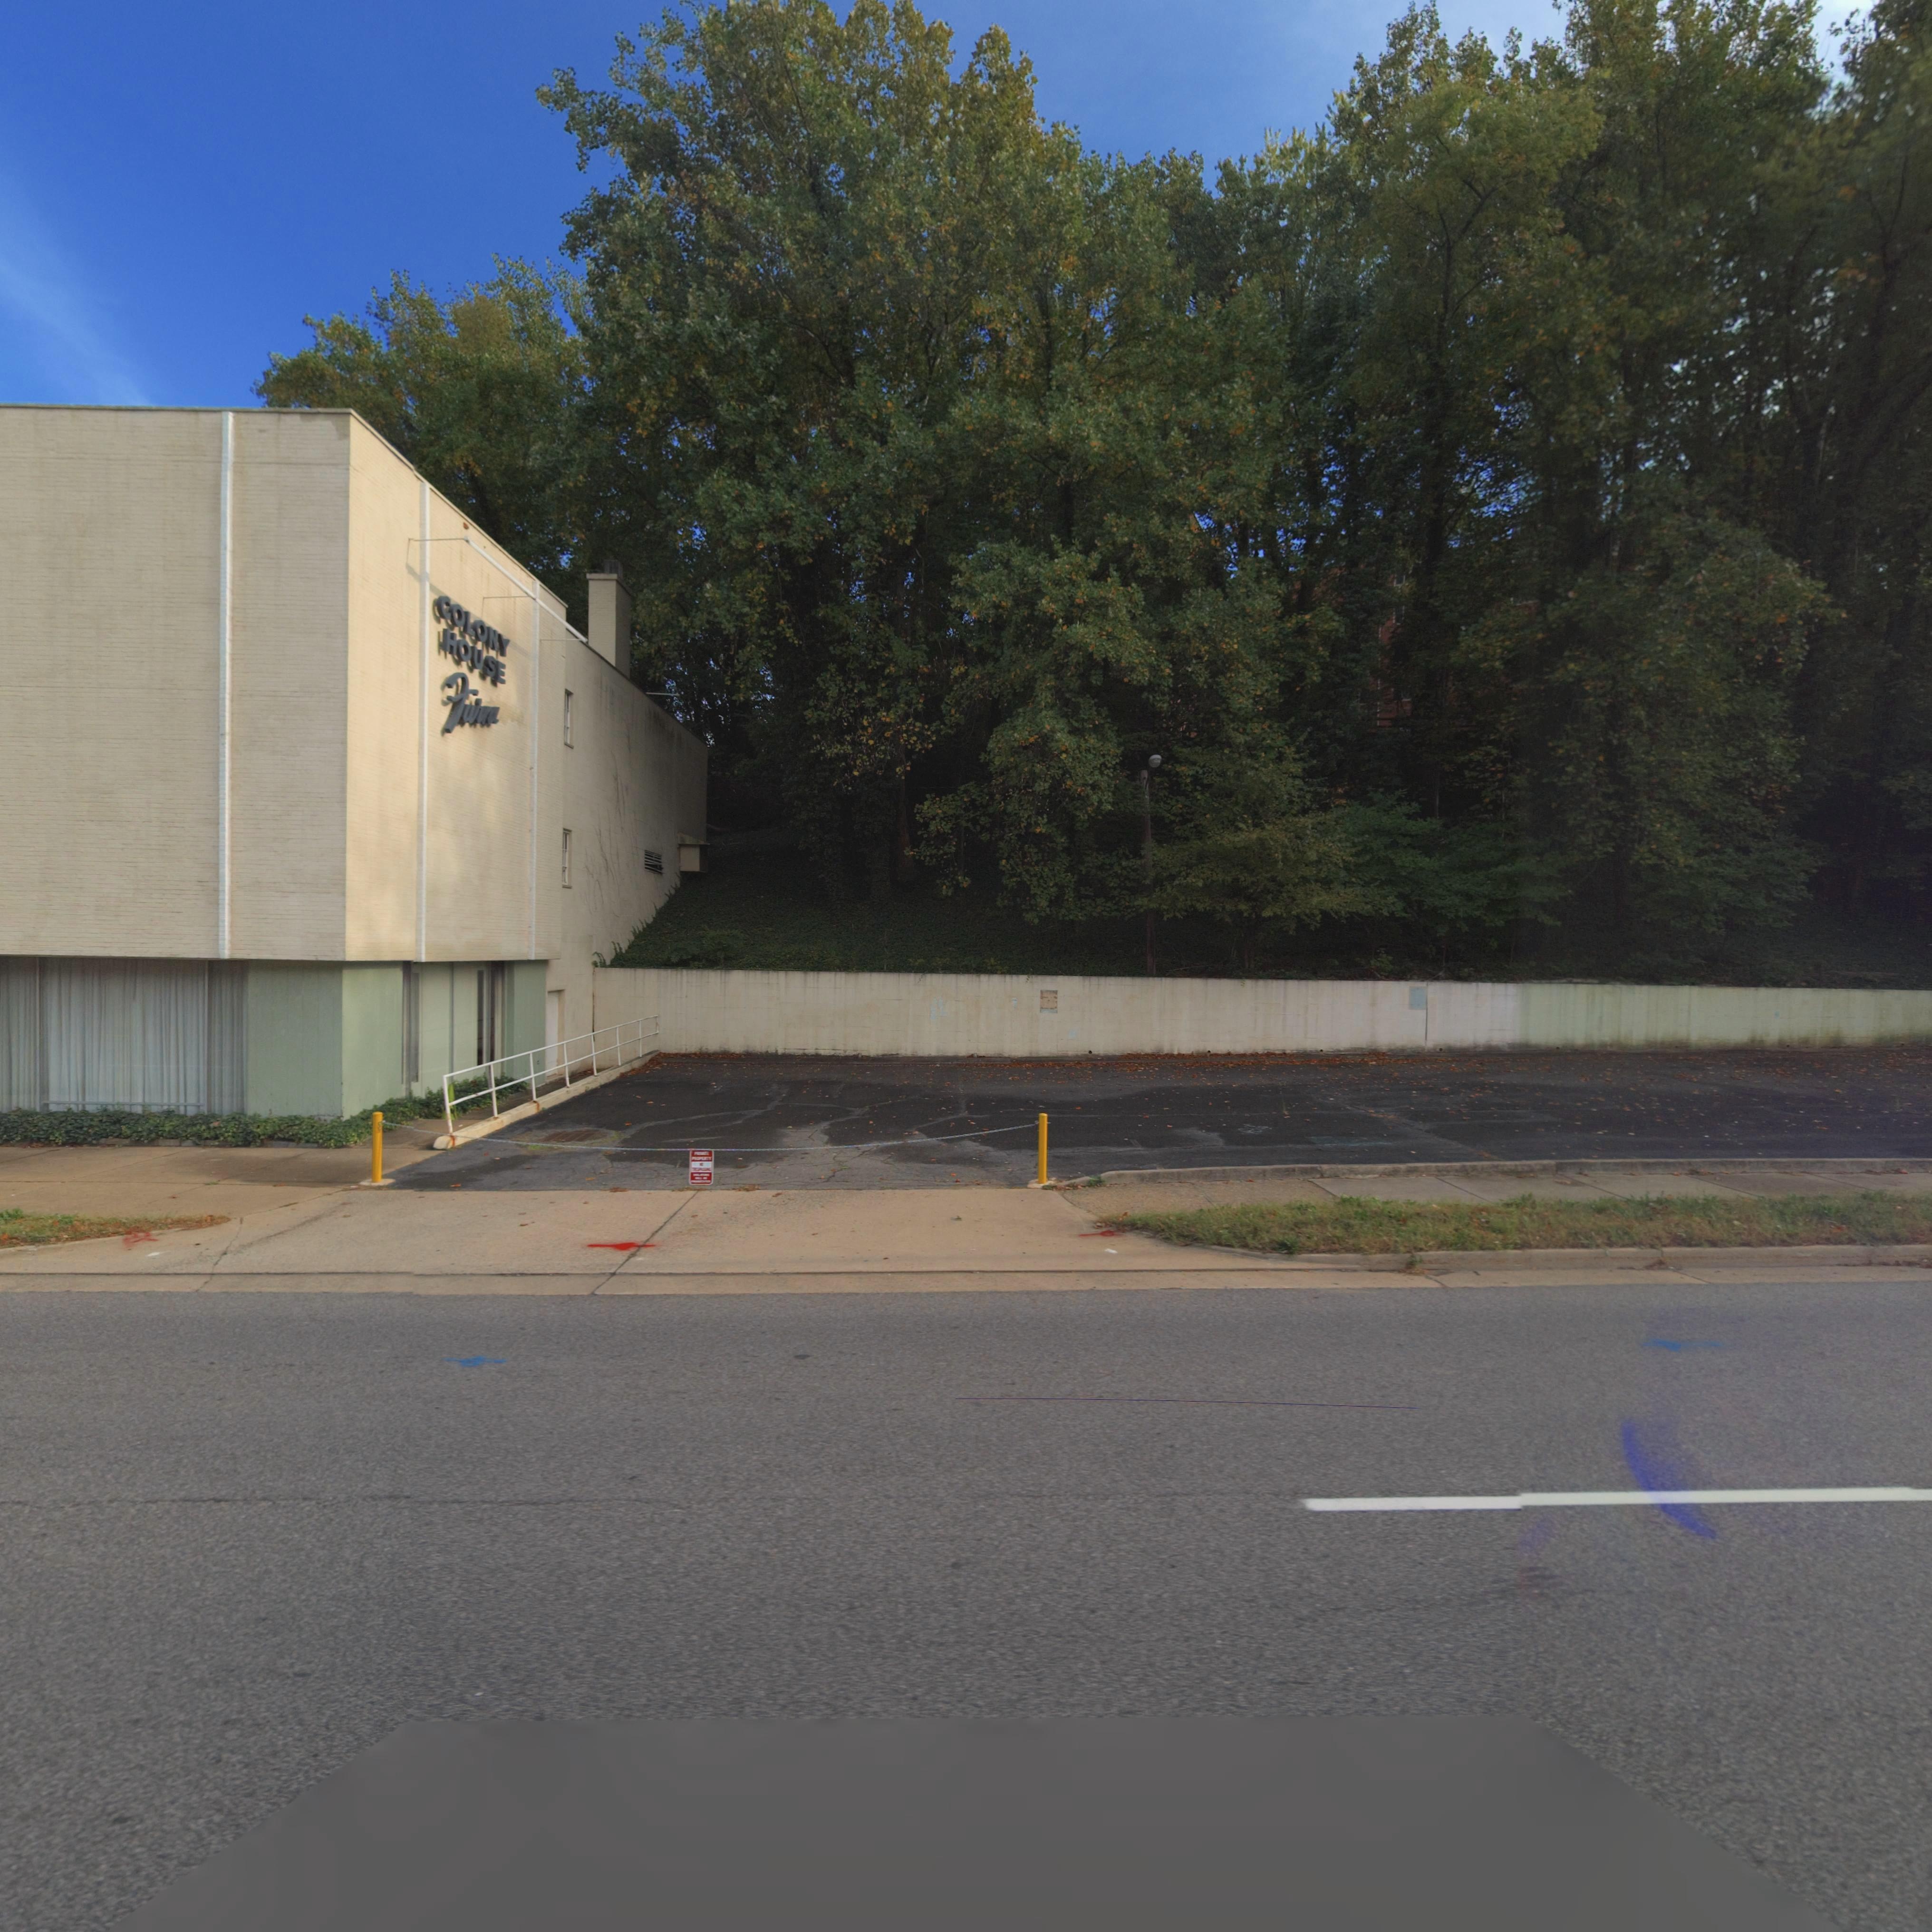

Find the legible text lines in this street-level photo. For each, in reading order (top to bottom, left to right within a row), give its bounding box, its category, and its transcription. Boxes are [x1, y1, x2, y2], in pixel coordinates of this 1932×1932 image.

[433, 592, 512, 661] BusinessName: COLONY
[443, 626, 507, 687] BusinessName: HOUSE
[441, 680, 496, 737] BusinessName: furn